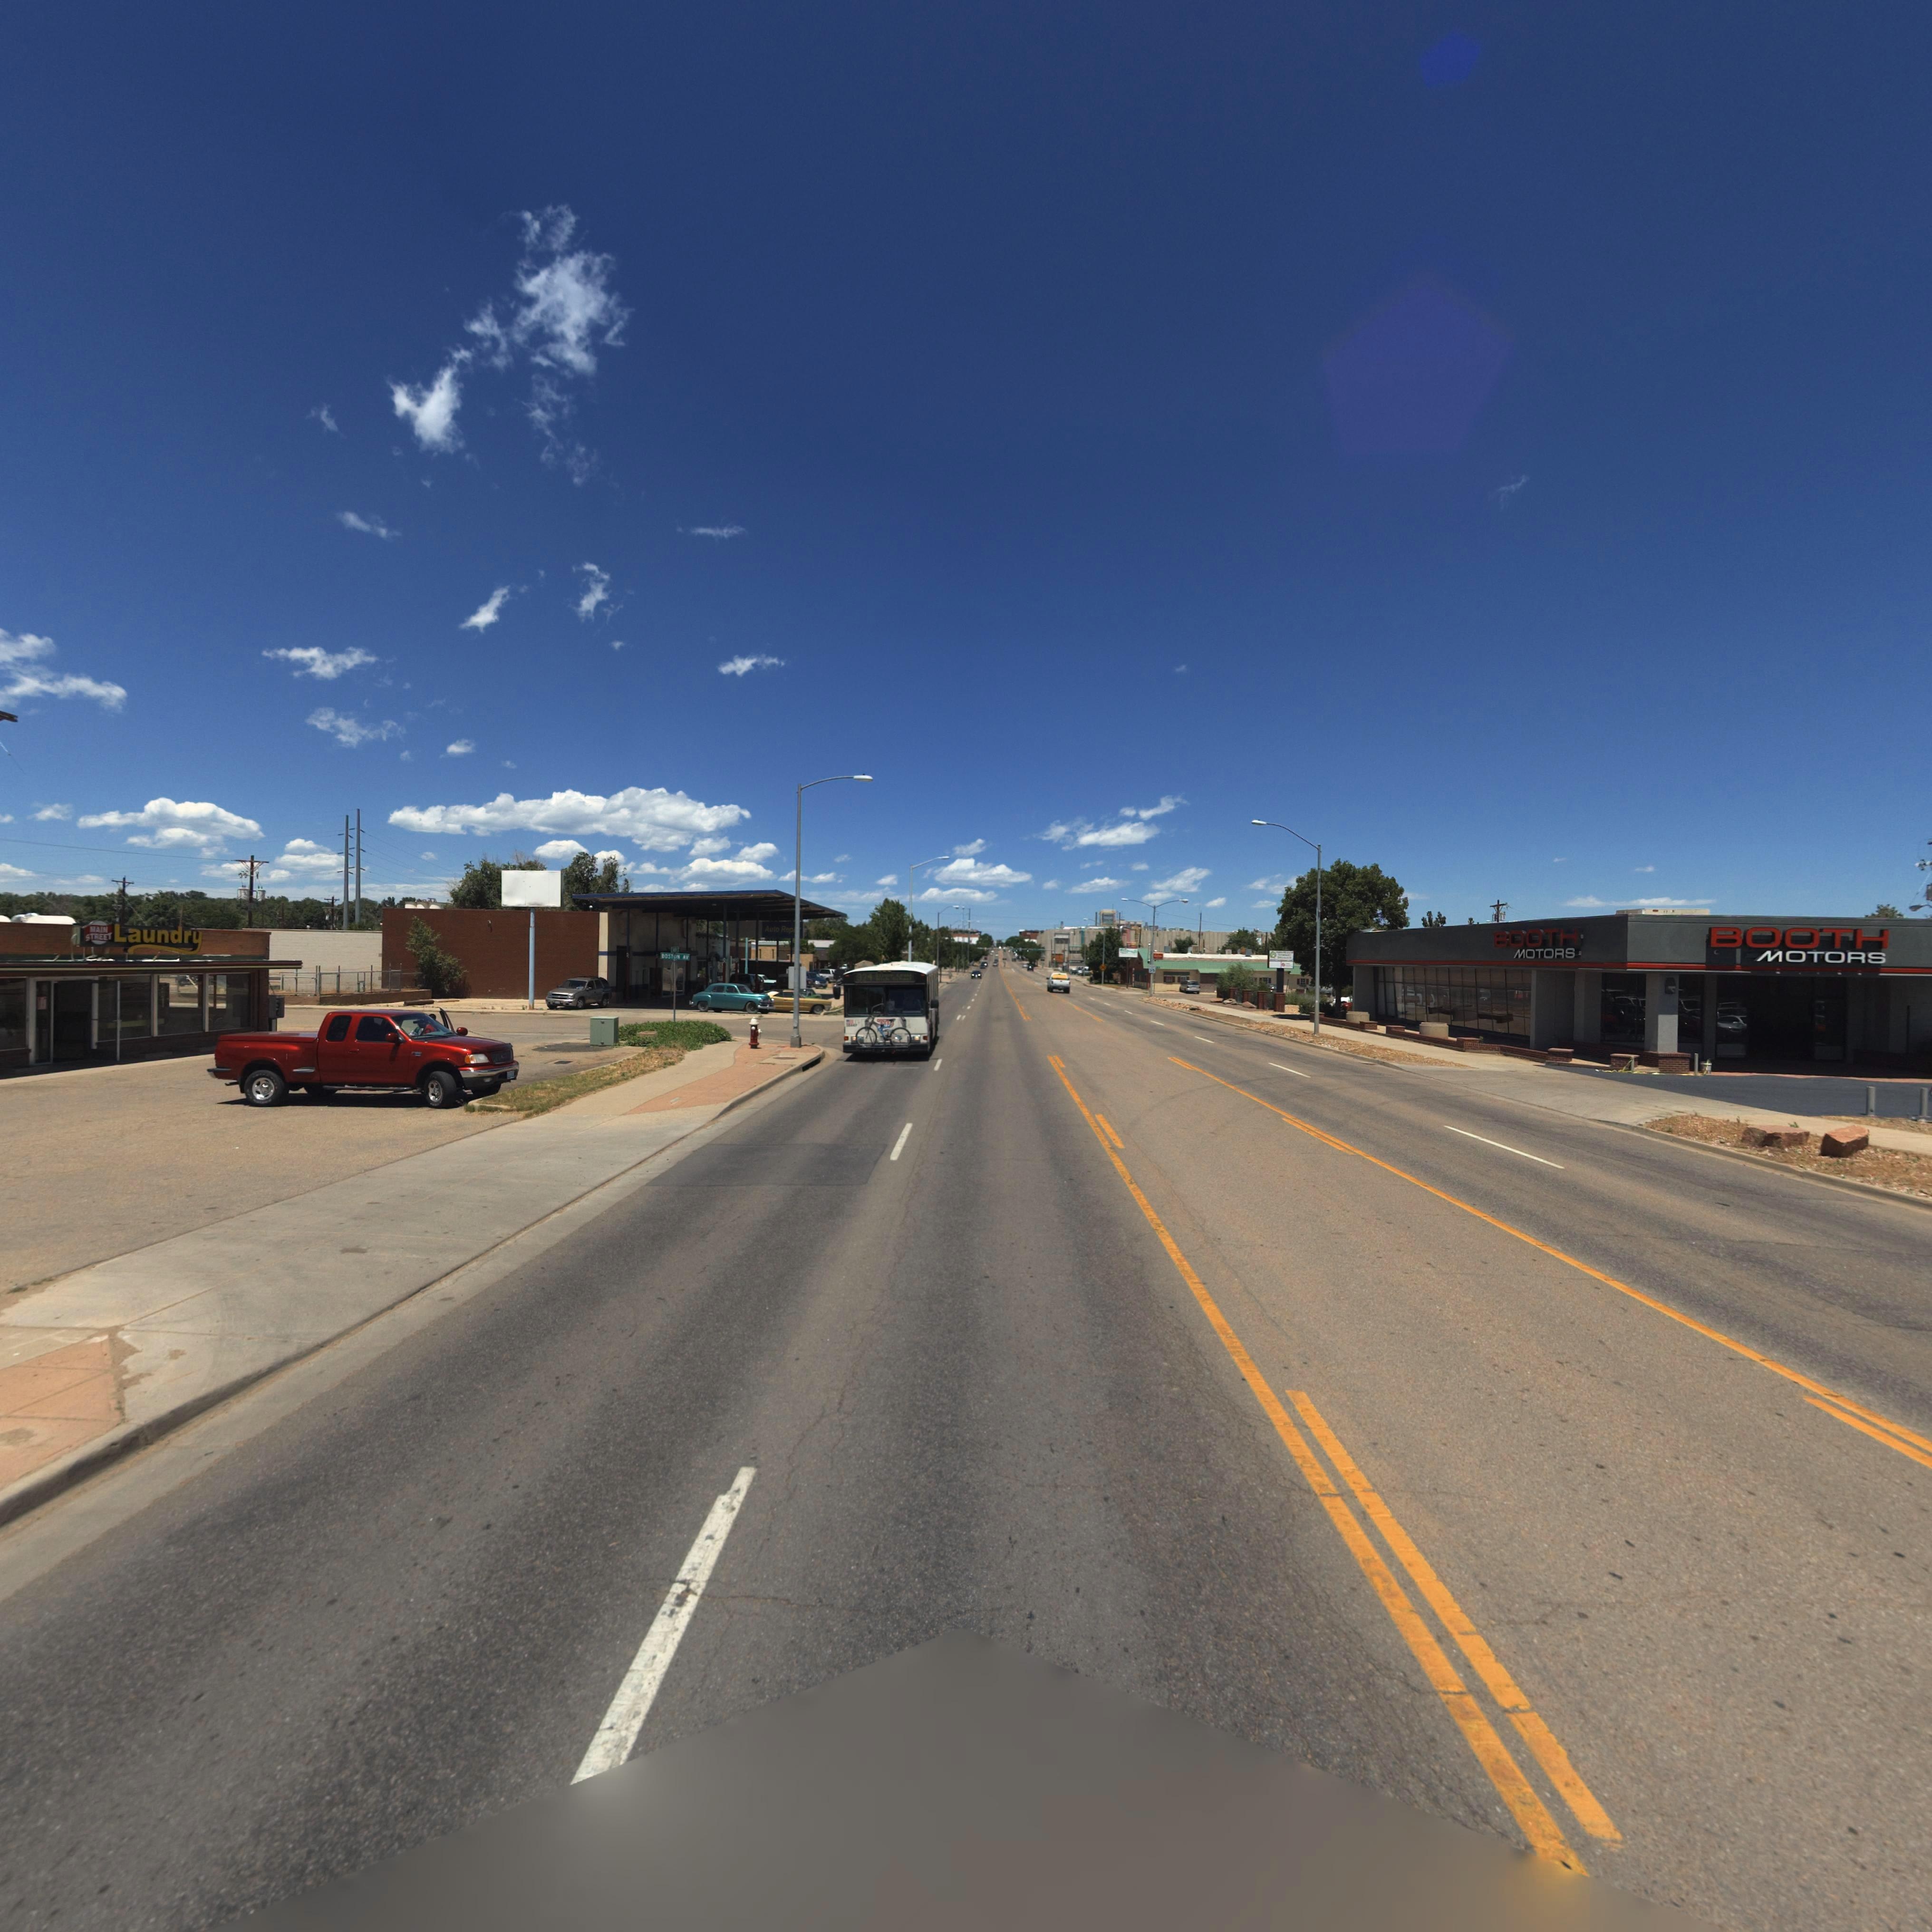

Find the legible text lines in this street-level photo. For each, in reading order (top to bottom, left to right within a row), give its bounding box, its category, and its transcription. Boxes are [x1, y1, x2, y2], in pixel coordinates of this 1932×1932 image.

[89, 926, 108, 933] BusinessName: MAIN
[85, 932, 112, 942] BusinessName: STREET
[114, 922, 202, 954] BusinessName: Laundry
[1492, 927, 1578, 947] BusinessName: BOOTH
[1709, 926, 1889, 949] BusinessName: BOOTH
[671, 947, 679, 952] StreetName: *** S*
[661, 953, 689, 959] StreetName: BOSTON AV
[1512, 947, 1575, 958] BusinessName: MOTORS
[1753, 949, 1887, 965] BusinessName: MOTORS